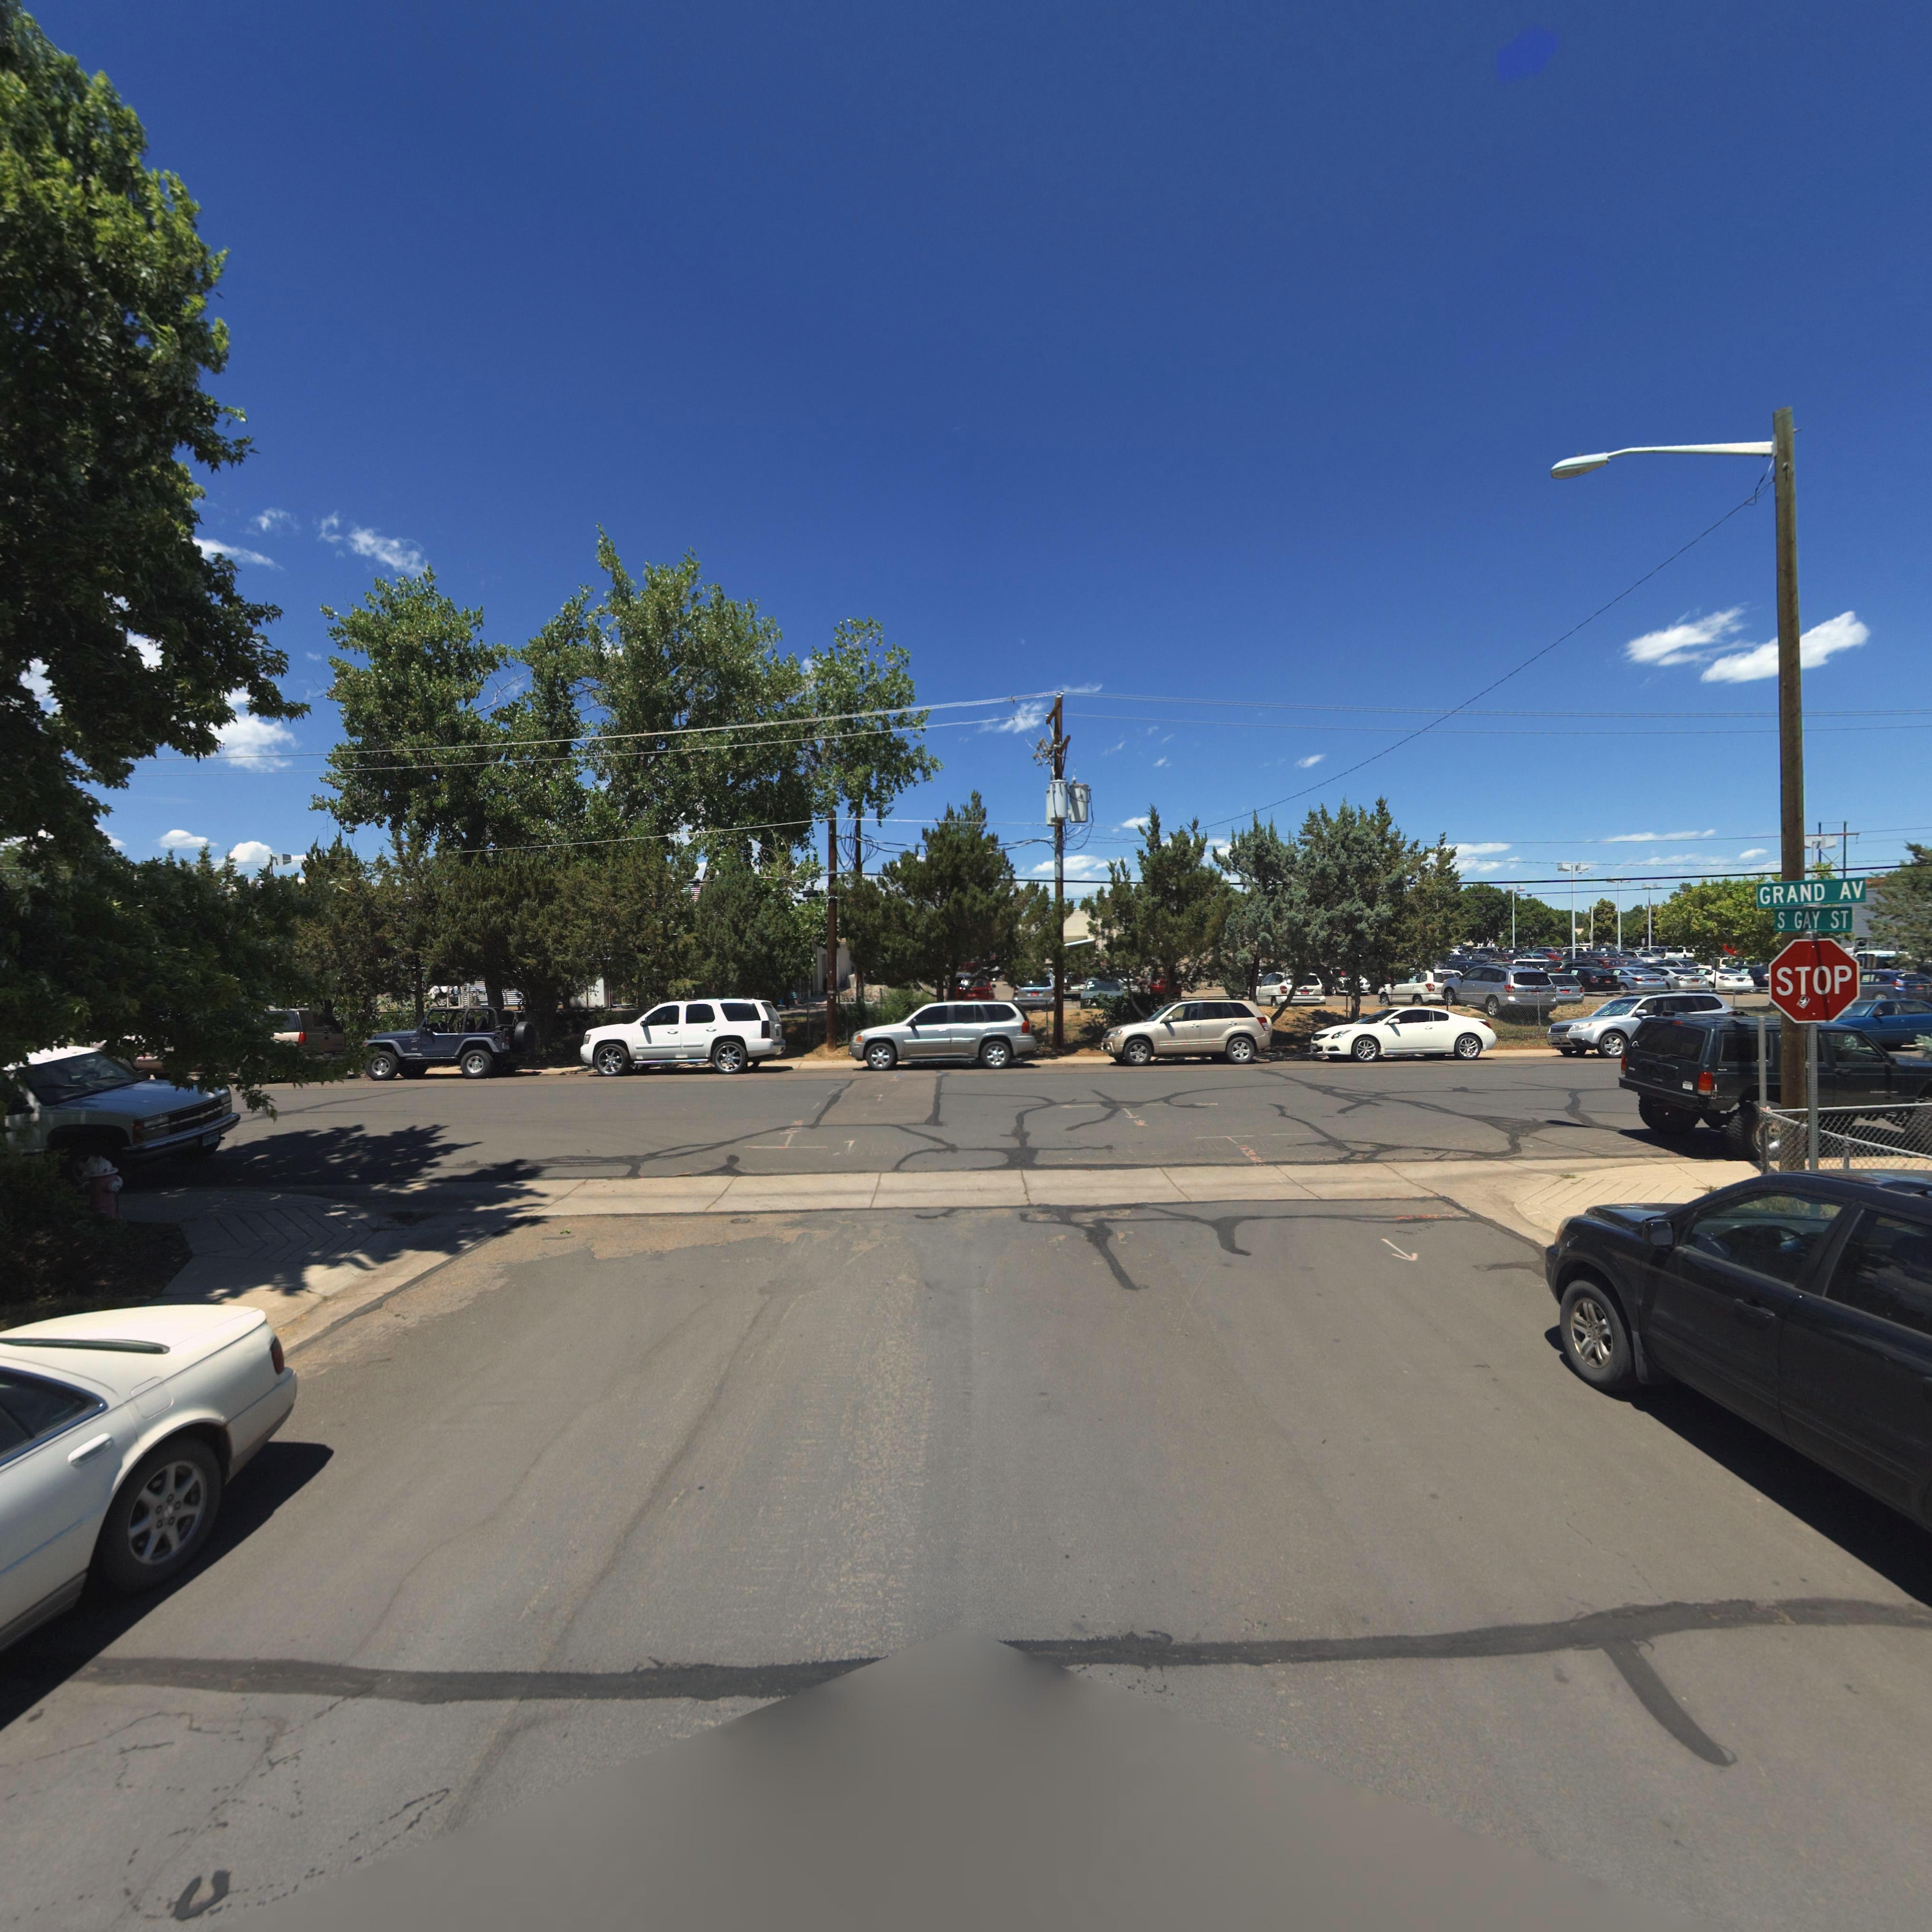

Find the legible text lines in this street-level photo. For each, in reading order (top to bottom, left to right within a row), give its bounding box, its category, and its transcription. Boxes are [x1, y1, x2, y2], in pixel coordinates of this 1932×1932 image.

[1759, 879, 1865, 905] StreetName: GRAND AV
[1777, 910, 1849, 929] StreetName: S GAY ST